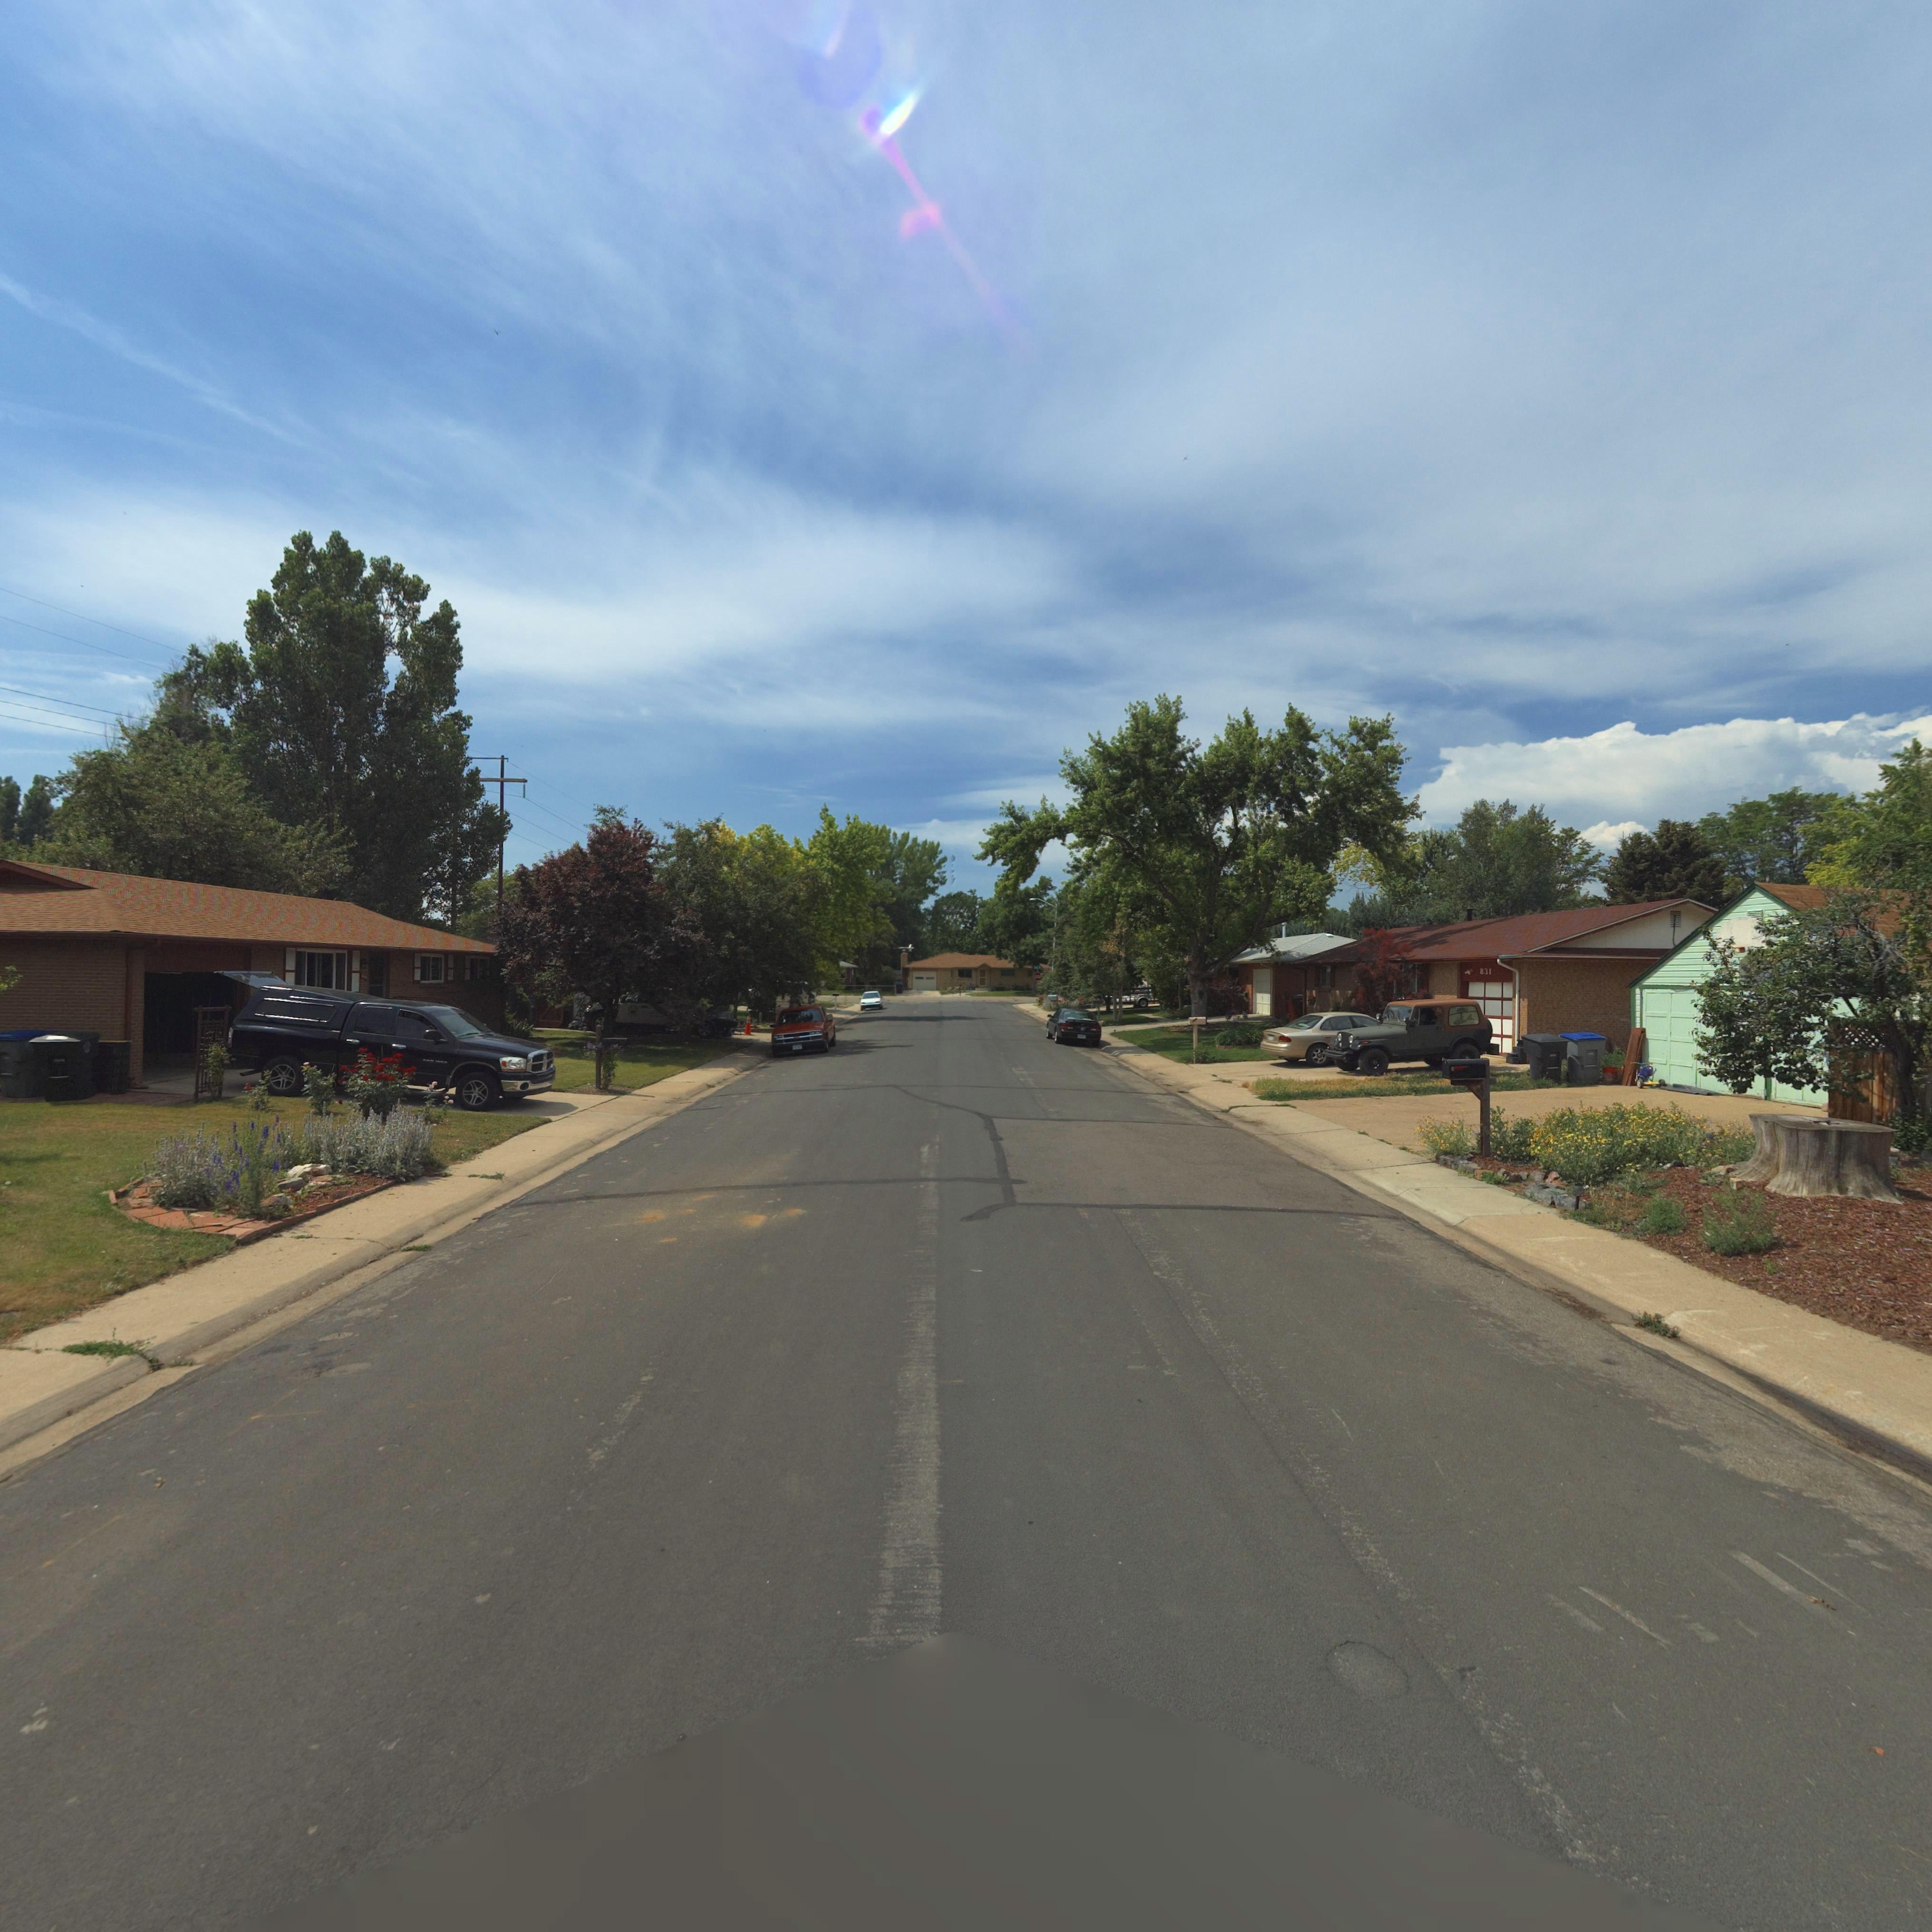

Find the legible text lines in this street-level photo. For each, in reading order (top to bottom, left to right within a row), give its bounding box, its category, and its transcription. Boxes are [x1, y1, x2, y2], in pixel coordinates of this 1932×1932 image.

[1479, 967, 1492, 976] StreetNumber: 831